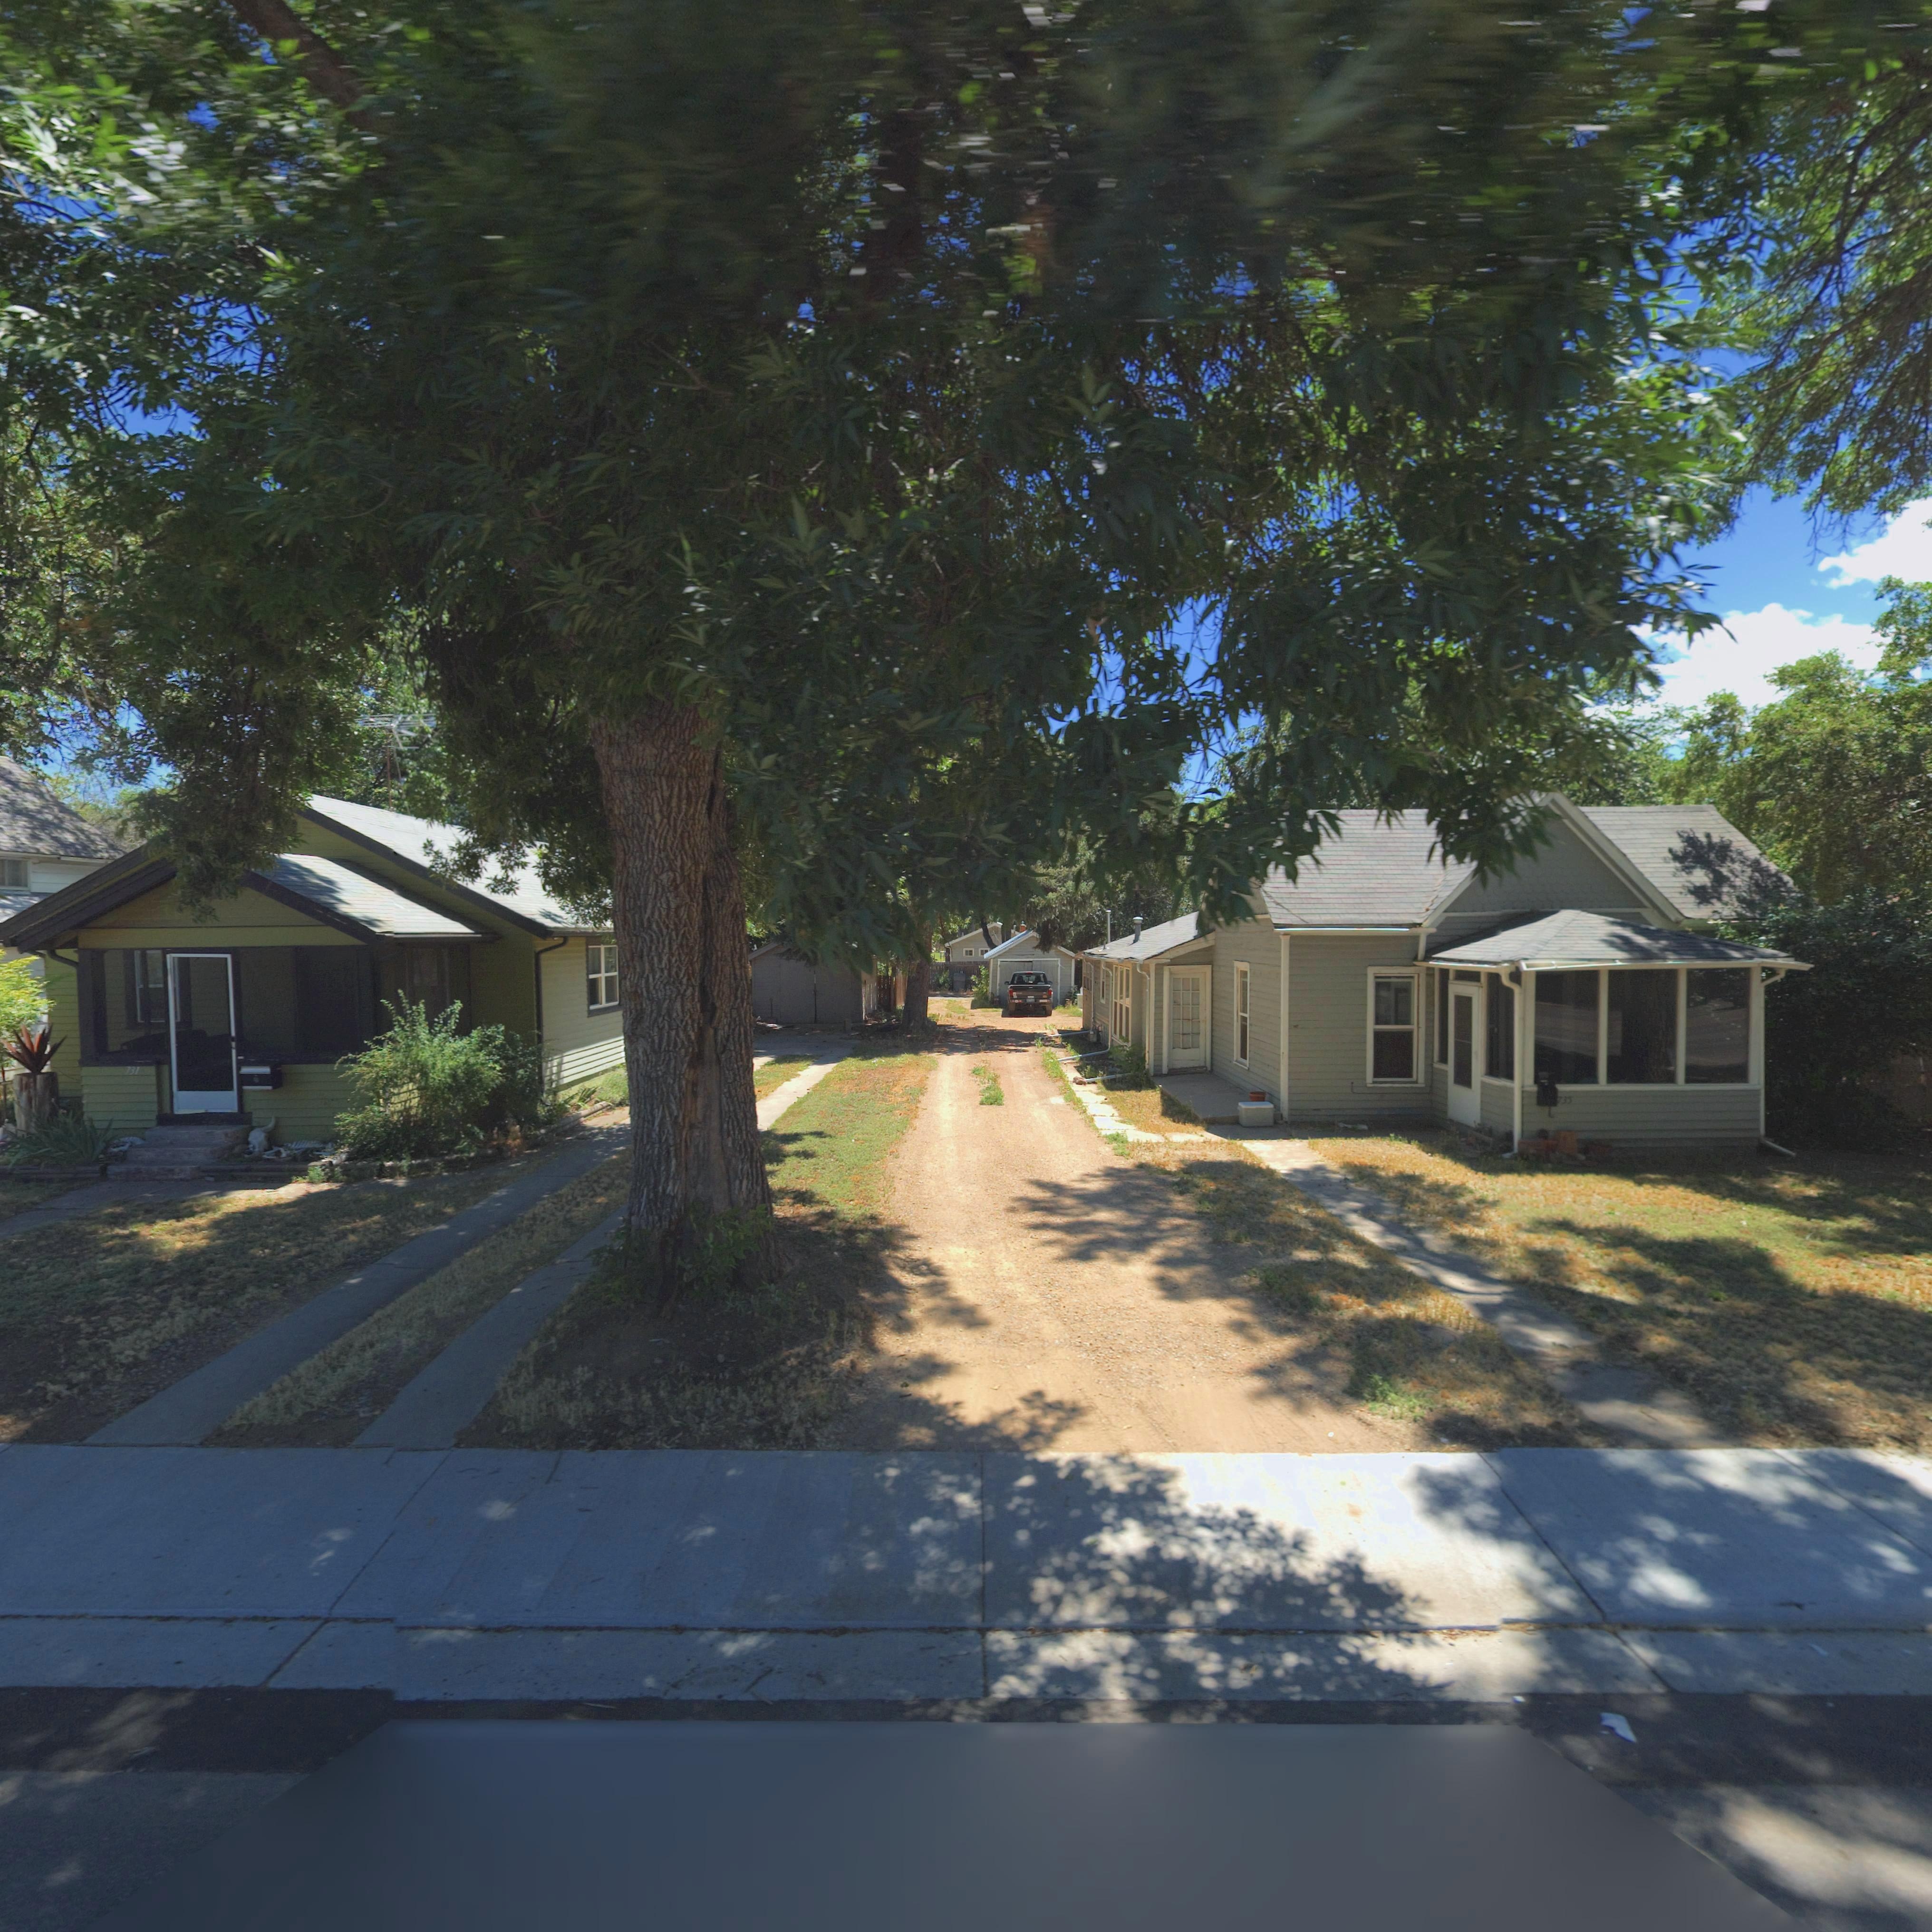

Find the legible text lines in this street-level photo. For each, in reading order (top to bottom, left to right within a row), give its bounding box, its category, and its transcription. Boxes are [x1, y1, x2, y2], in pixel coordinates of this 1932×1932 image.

[122, 1066, 141, 1075] StreetNumber: 731
[1557, 1096, 1574, 1104] StreetNumber: 735